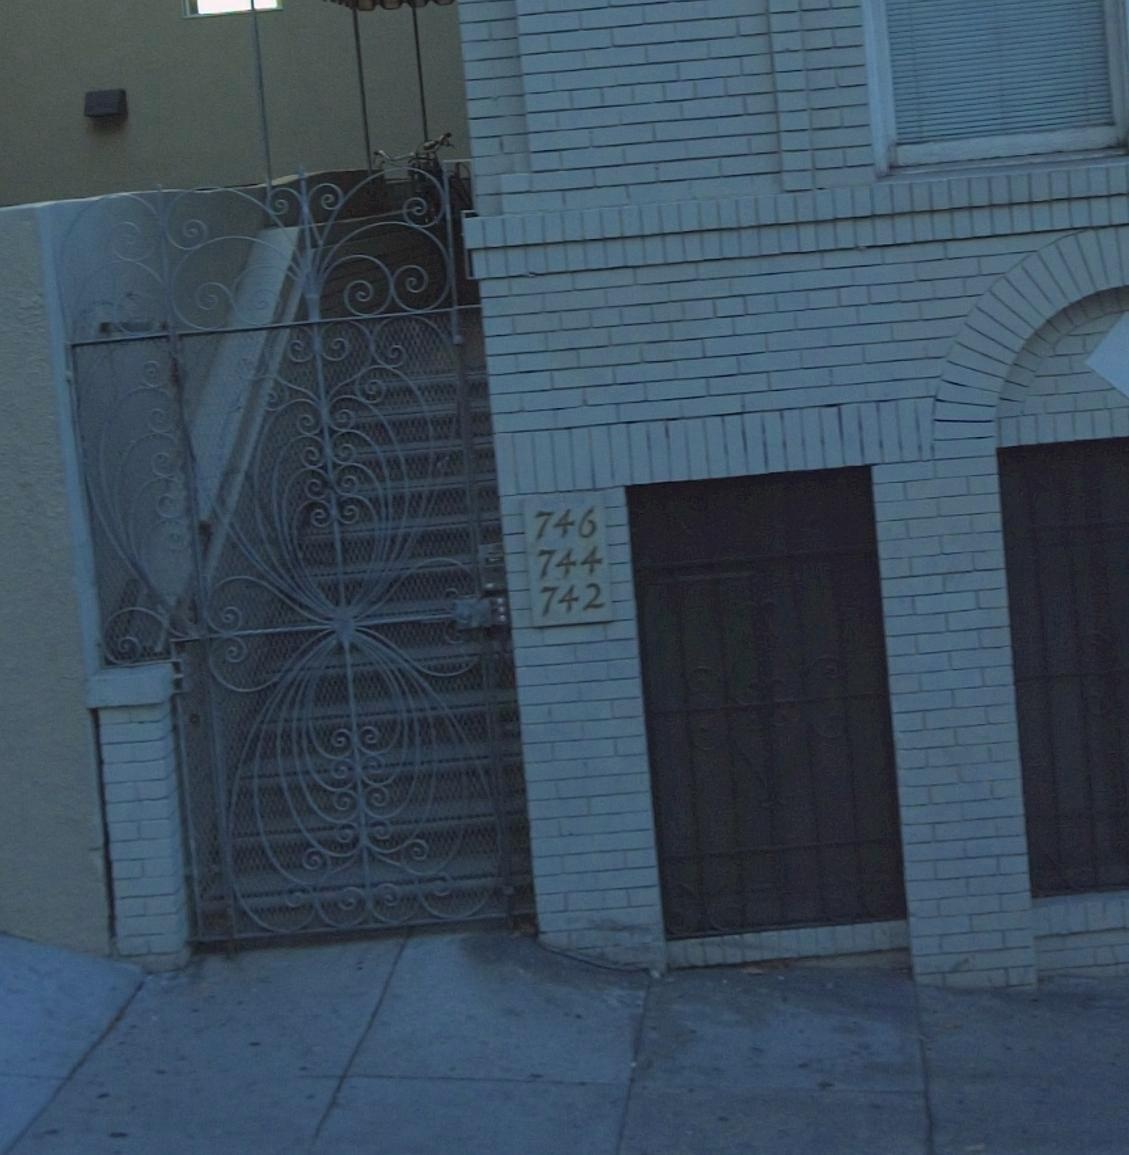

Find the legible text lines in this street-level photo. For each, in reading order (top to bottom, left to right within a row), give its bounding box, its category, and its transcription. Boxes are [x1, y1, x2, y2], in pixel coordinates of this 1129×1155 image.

[533, 504, 598, 543] StreetNumber: 746
[534, 544, 606, 581] StreetNumber: 744
[538, 582, 609, 621] StreetNumber: 742